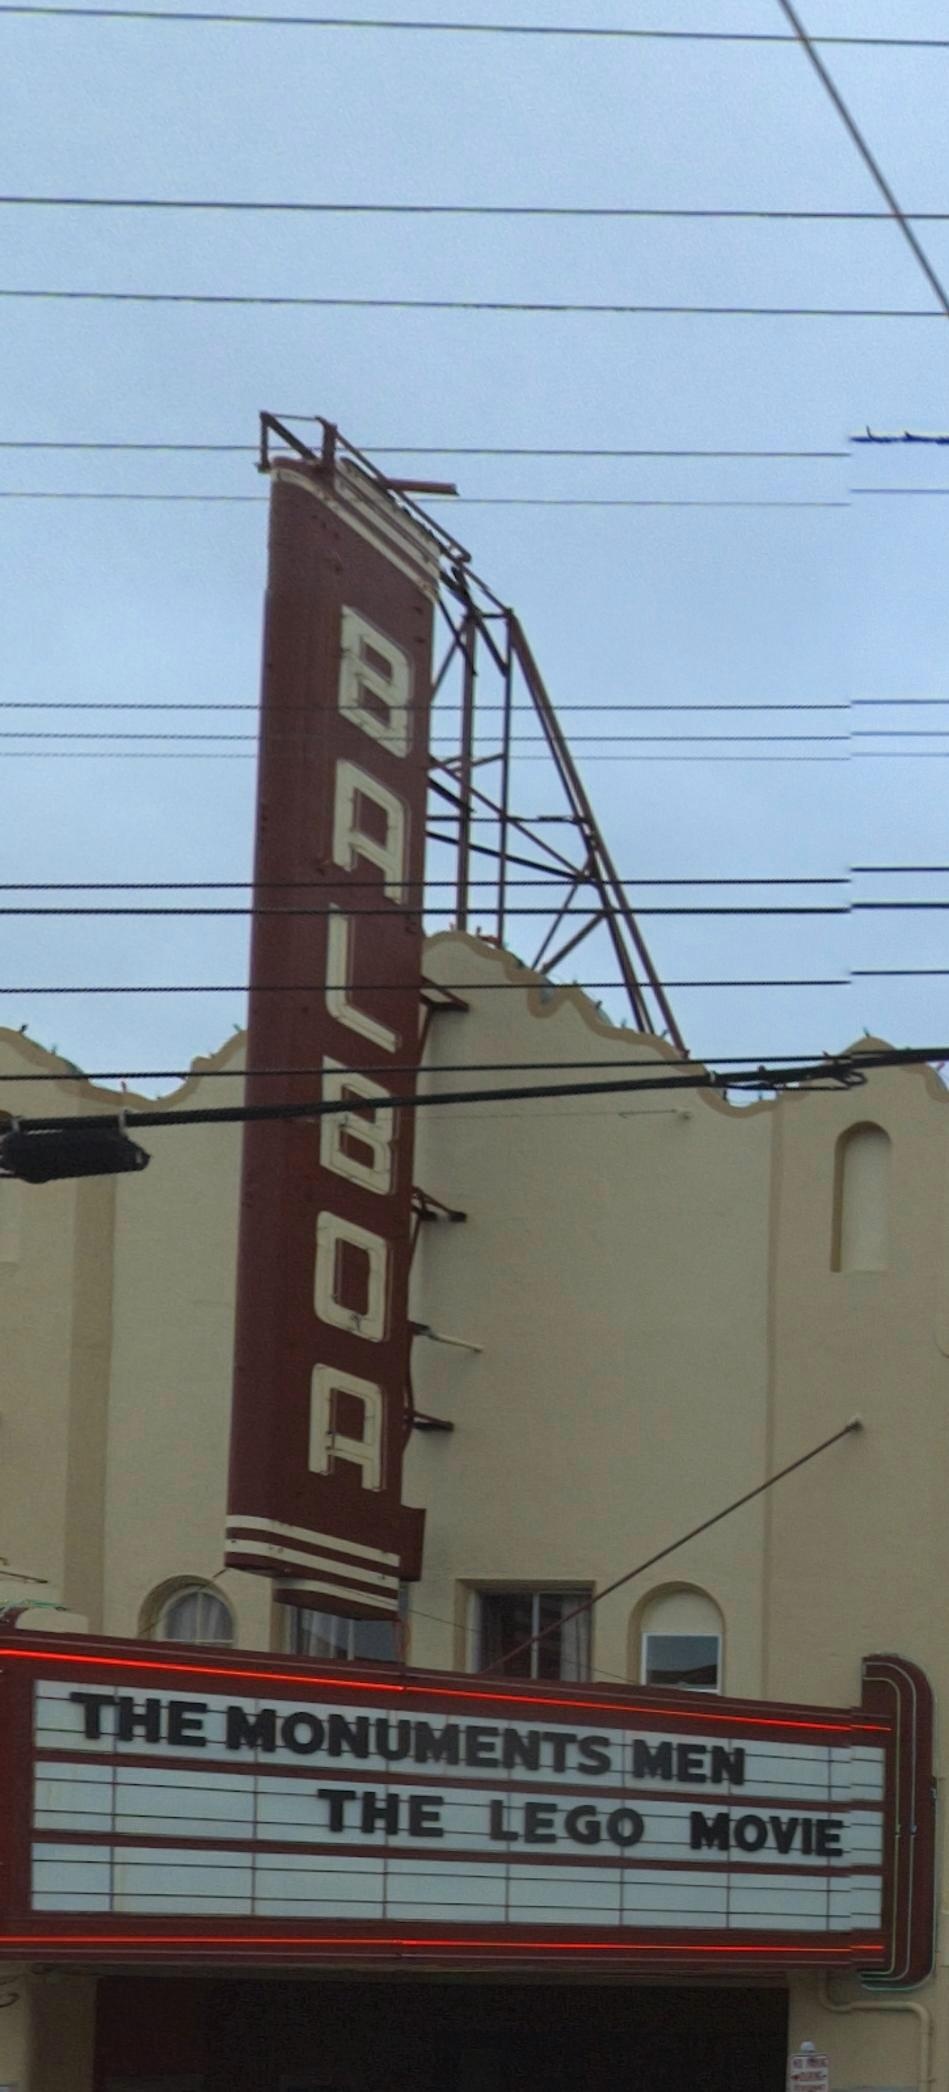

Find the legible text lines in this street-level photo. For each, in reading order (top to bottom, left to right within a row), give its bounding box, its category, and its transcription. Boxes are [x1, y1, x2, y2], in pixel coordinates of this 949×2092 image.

[301, 582, 421, 1507] BusinessName: BALBOA
[58, 1682, 754, 1796] None: THE MONUMENTS MEN
[312, 1784, 848, 1862] None: THE LEGO MOVIE